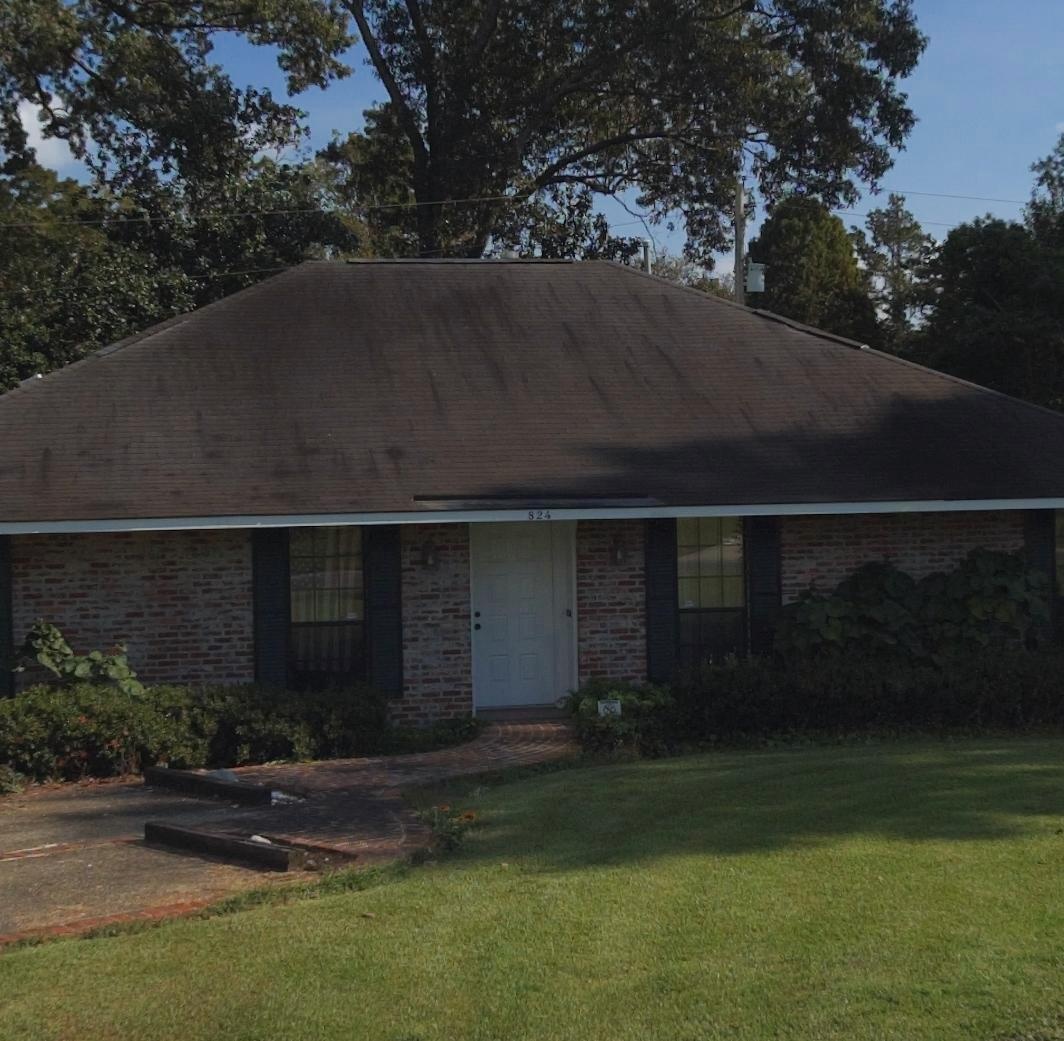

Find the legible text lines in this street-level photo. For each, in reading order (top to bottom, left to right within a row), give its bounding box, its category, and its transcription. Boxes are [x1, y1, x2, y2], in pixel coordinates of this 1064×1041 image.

[527, 509, 552, 520] StreetNumber: 824